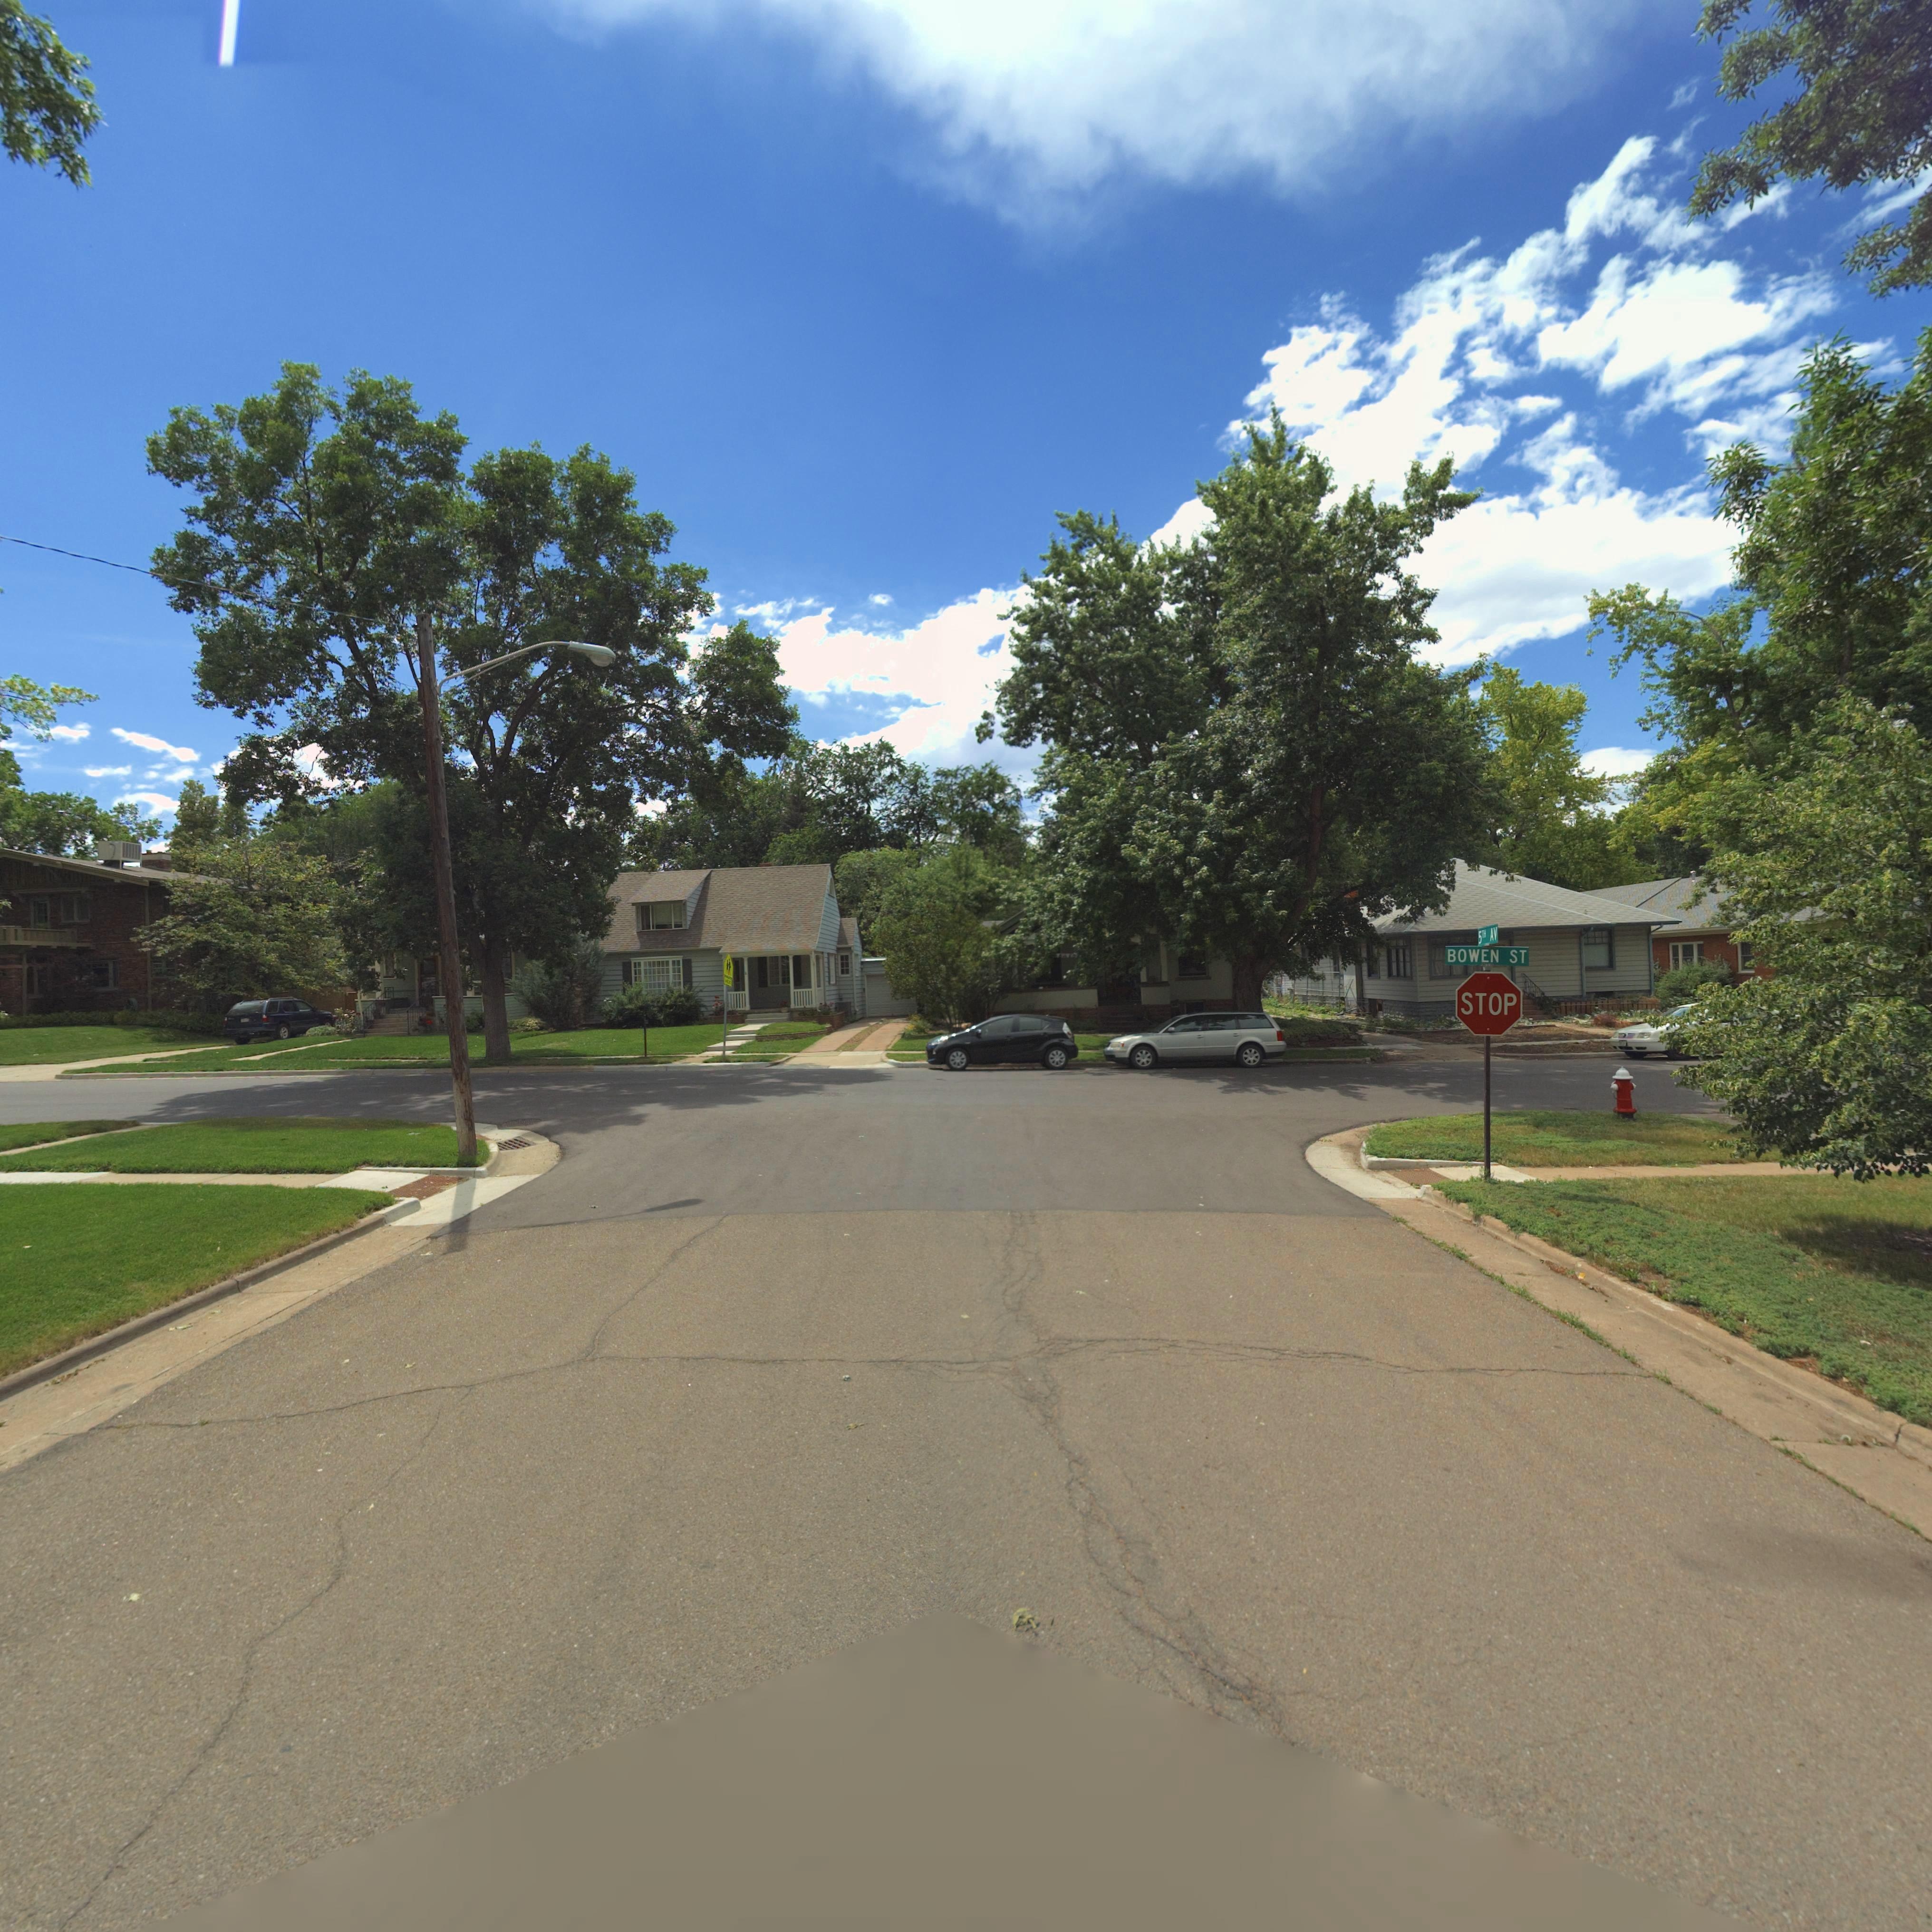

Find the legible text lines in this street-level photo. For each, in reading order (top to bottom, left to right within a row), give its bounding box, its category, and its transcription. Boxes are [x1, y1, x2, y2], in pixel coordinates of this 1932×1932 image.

[1478, 926, 1498, 944] StreetName: 5TH AV
[1447, 948, 1527, 964] StreetName: BOWEN ST